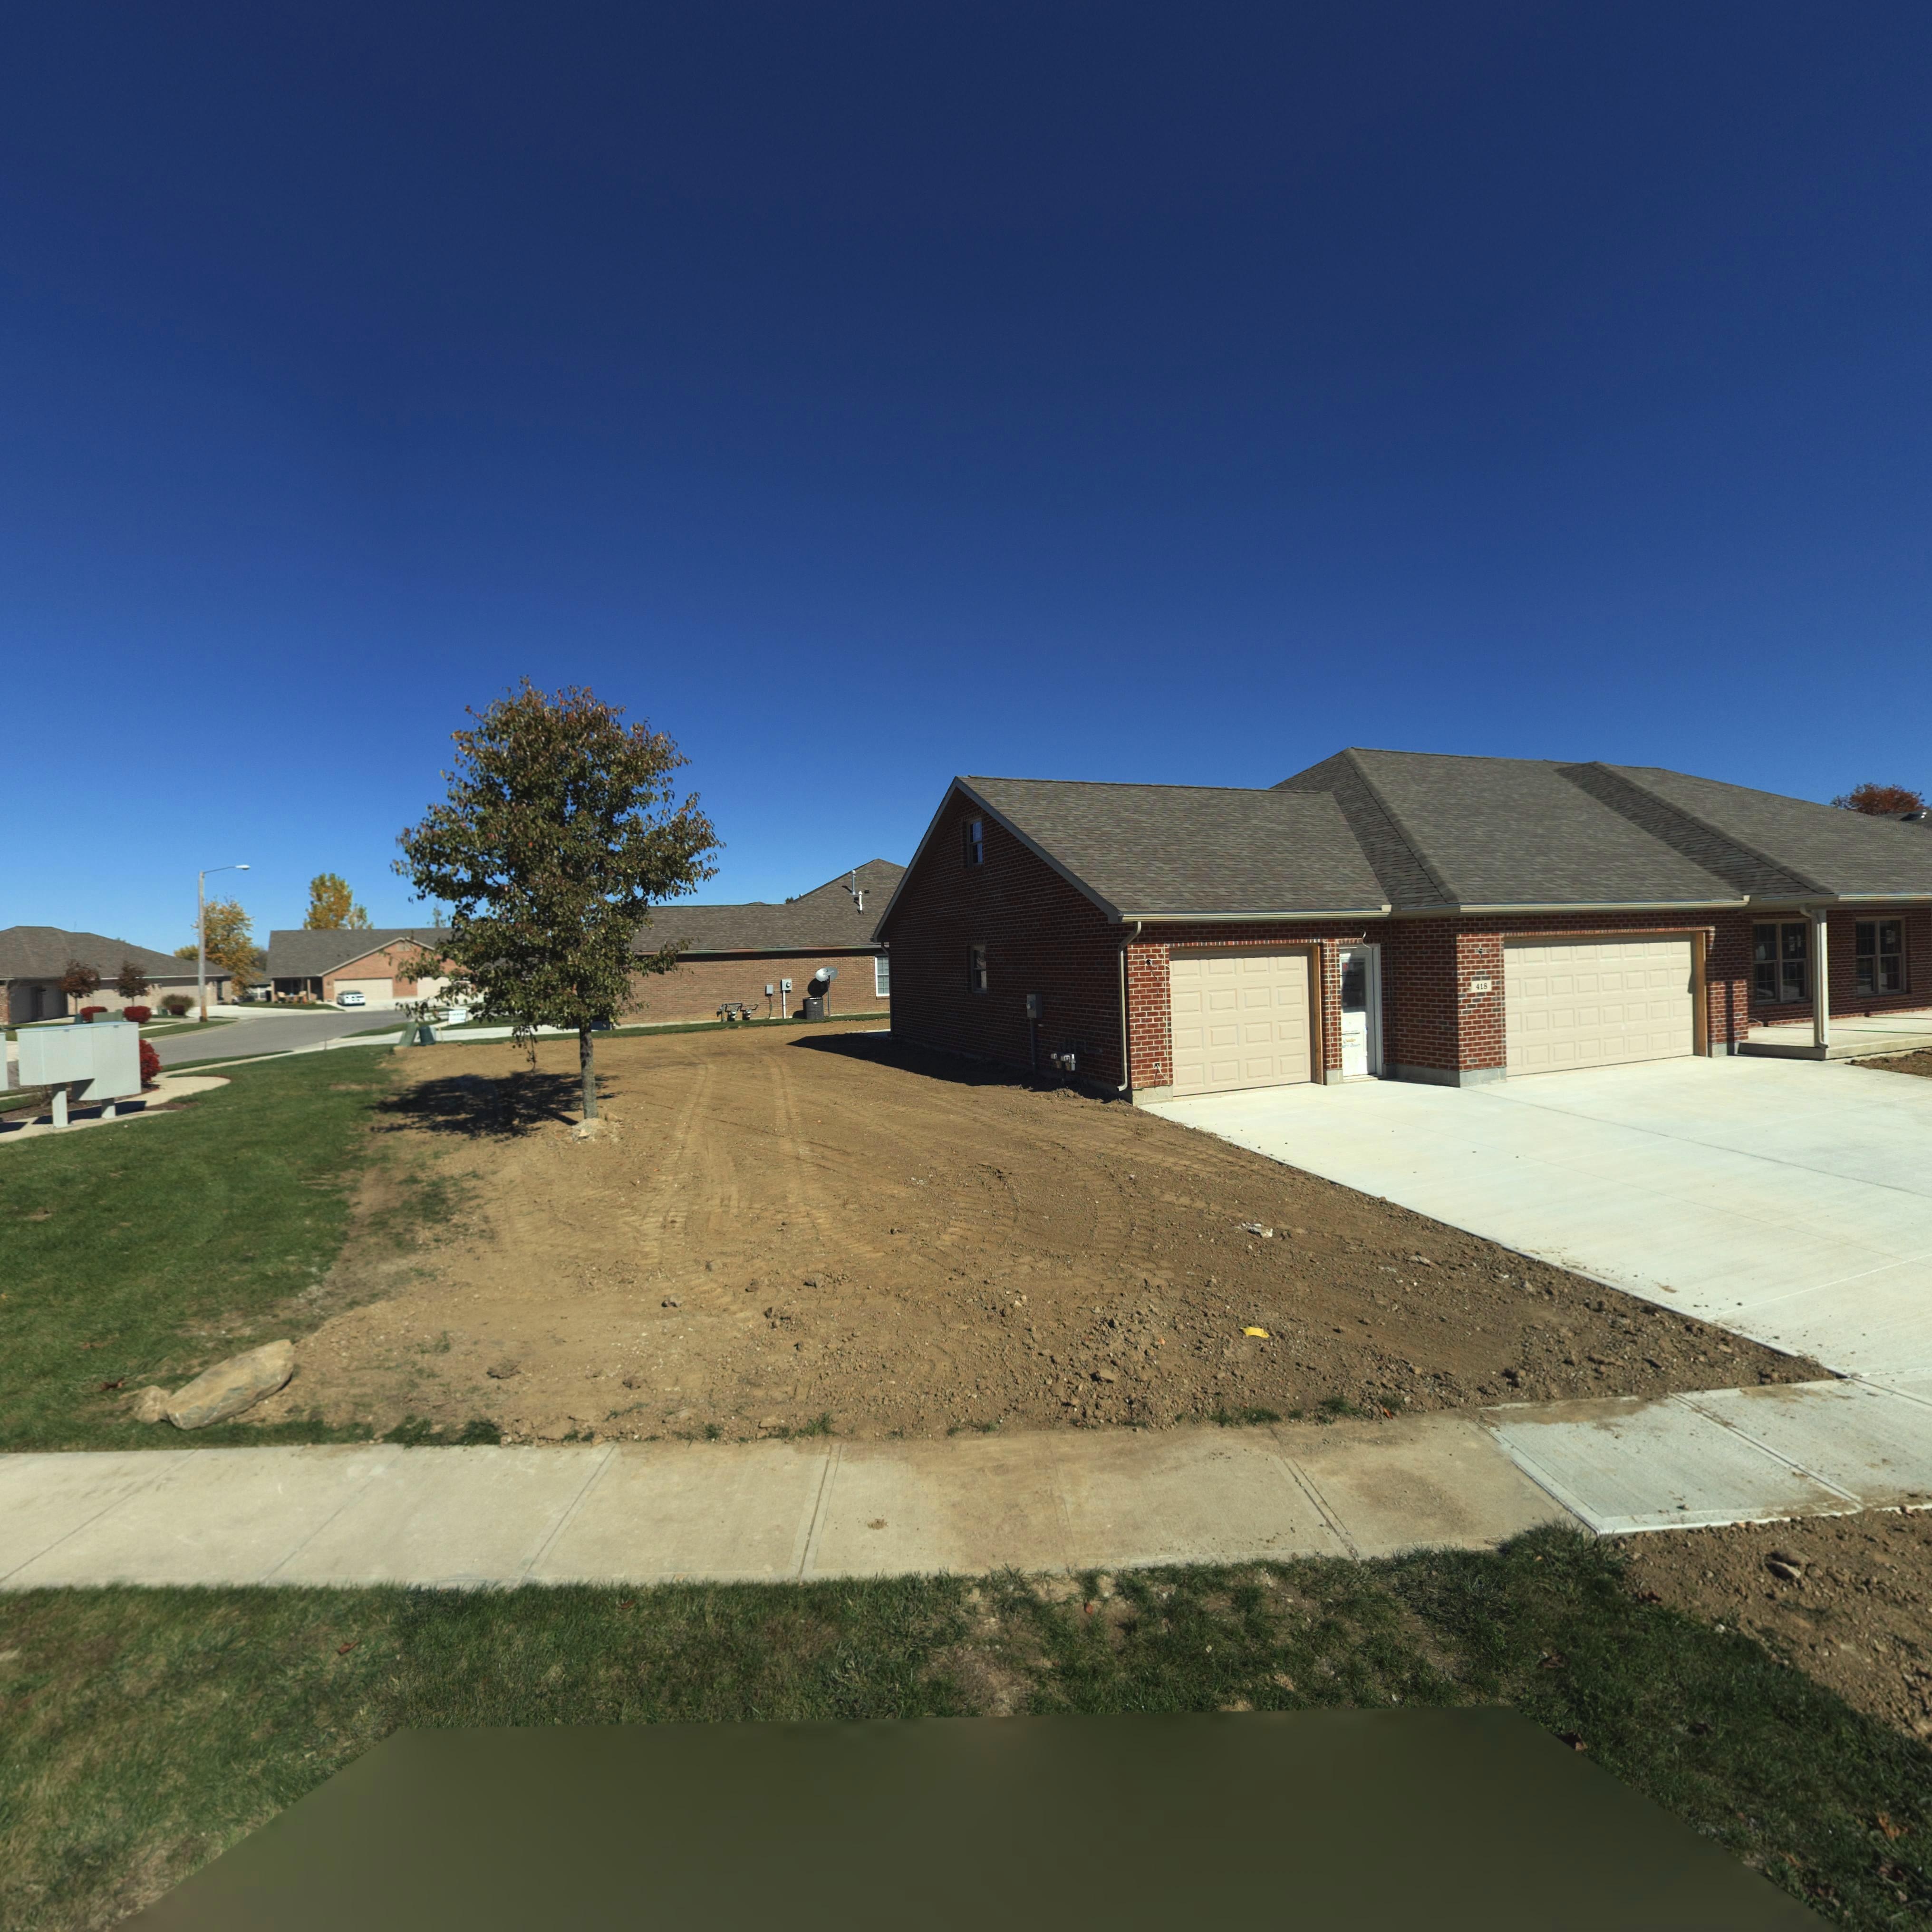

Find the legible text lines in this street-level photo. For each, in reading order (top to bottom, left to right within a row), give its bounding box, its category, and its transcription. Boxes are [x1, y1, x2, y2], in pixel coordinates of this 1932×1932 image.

[1475, 982, 1488, 990] StreetNumber: 418